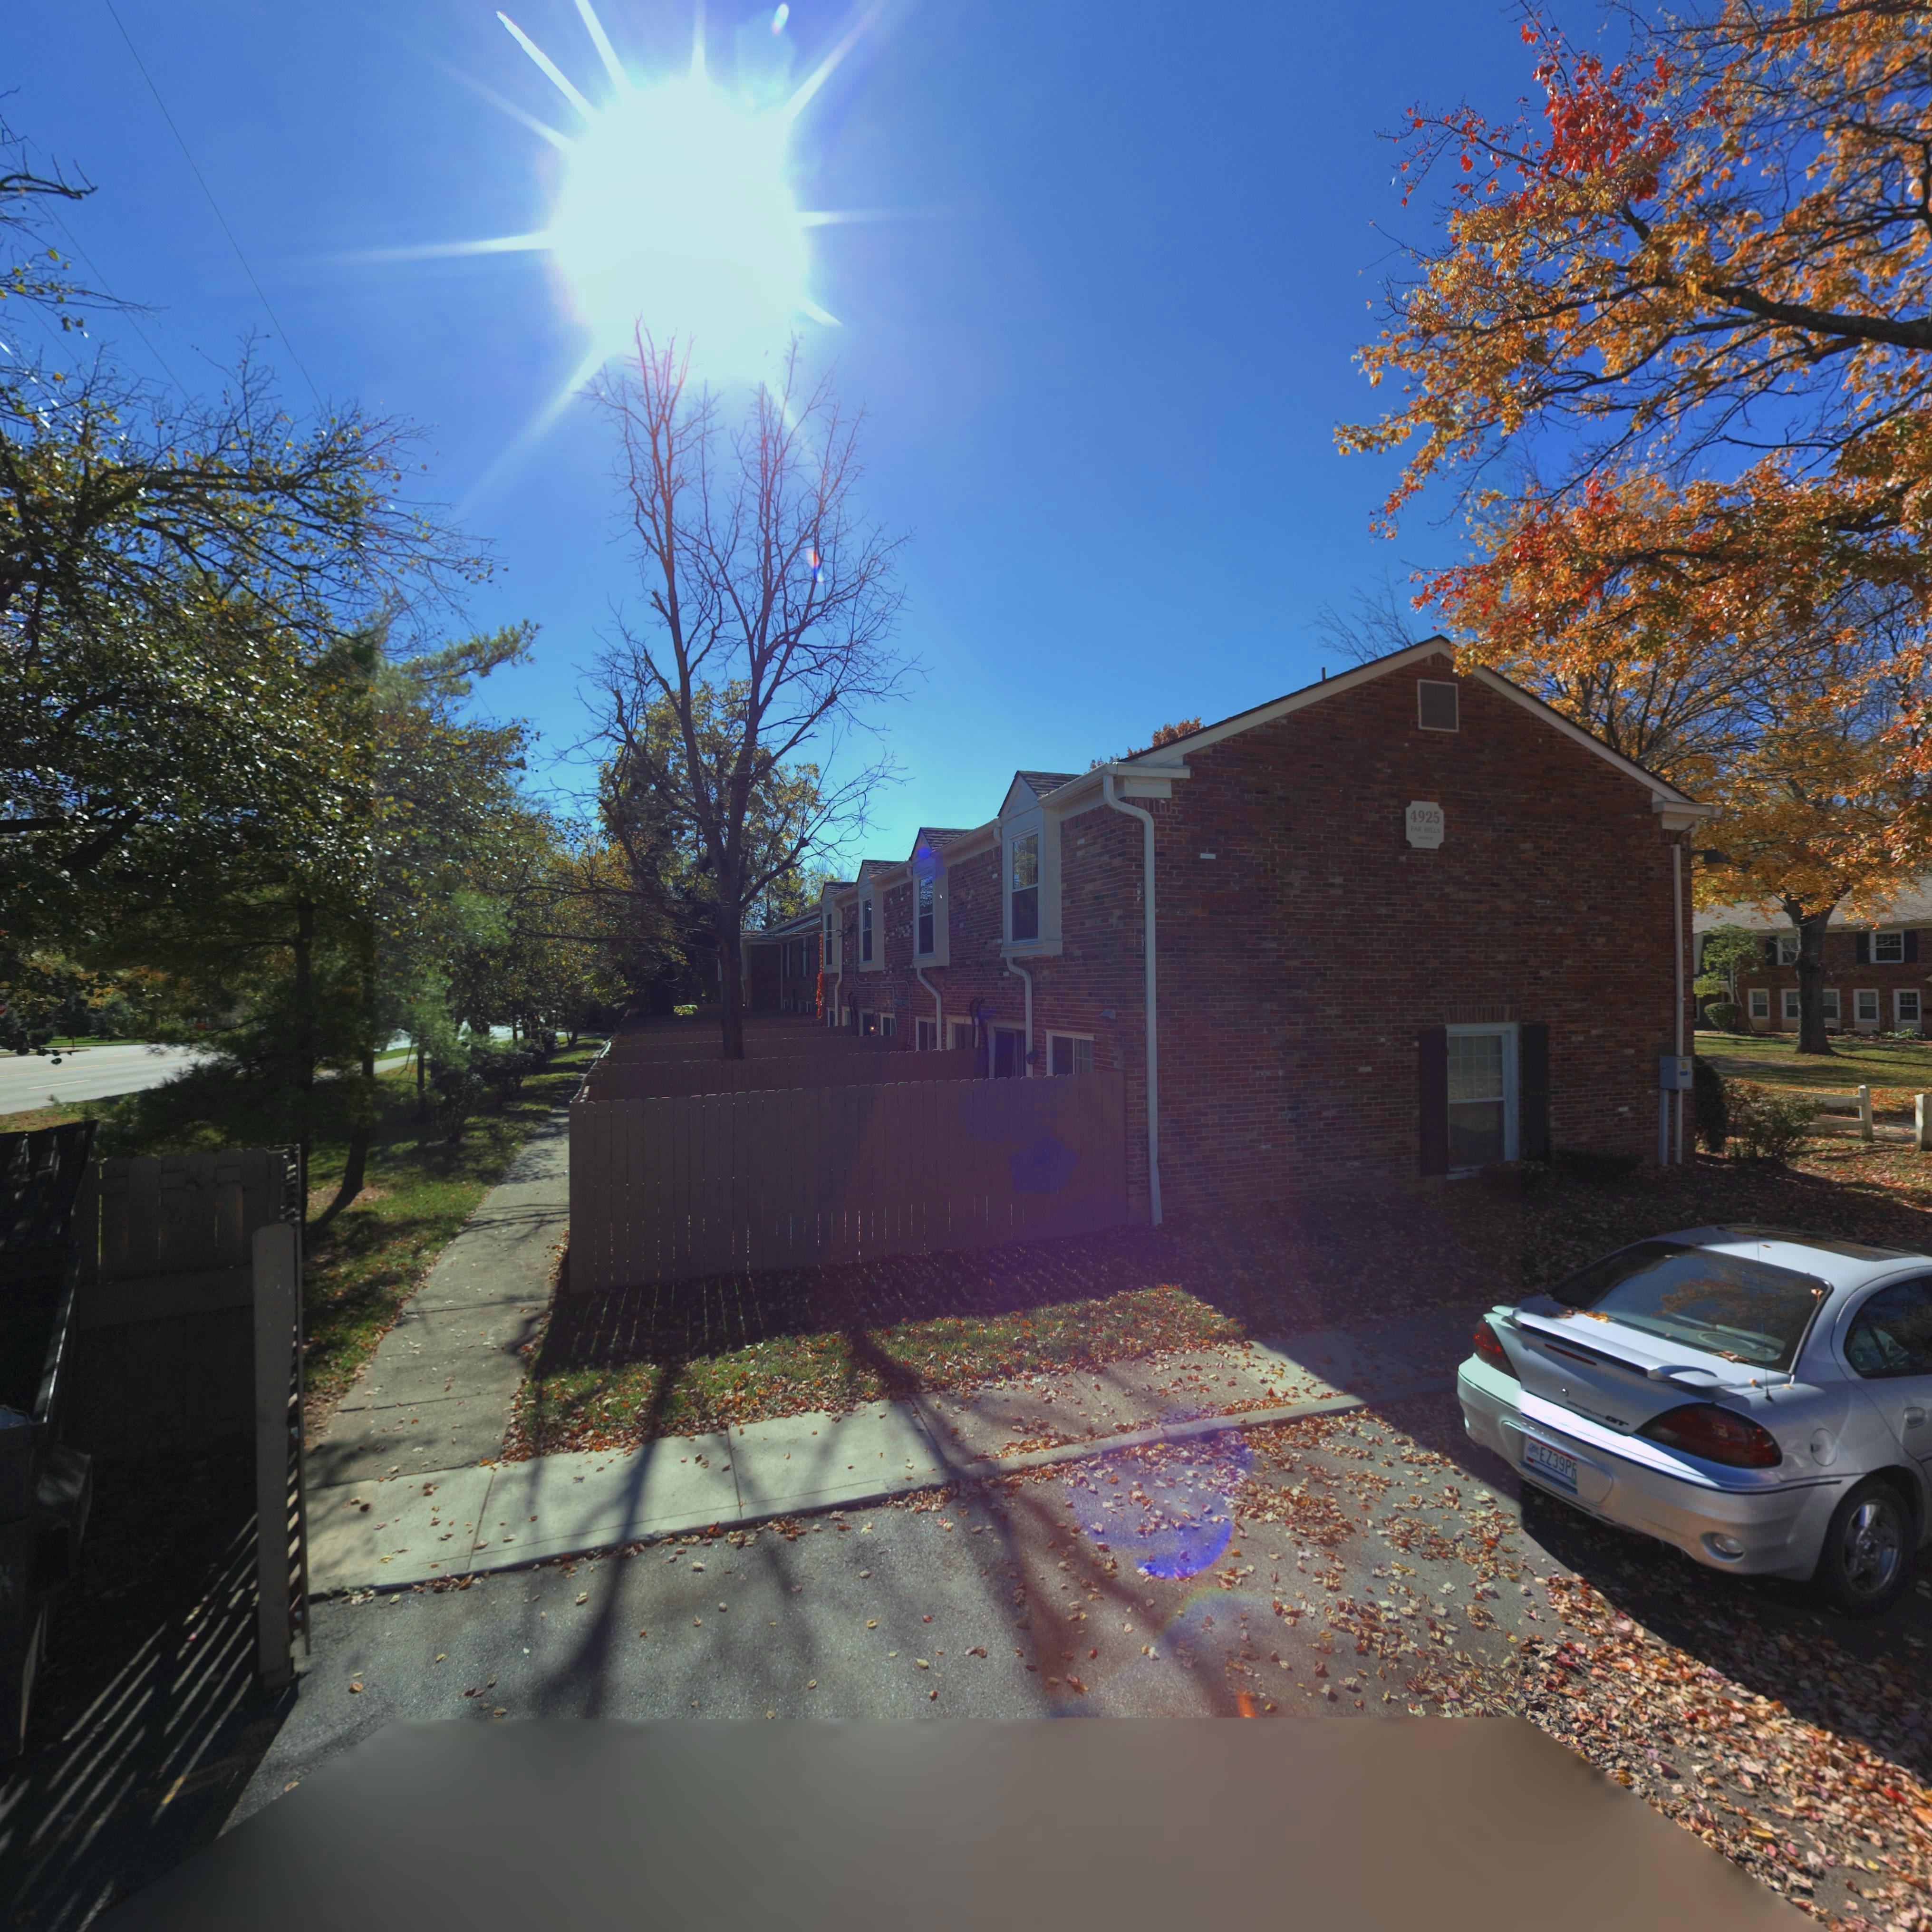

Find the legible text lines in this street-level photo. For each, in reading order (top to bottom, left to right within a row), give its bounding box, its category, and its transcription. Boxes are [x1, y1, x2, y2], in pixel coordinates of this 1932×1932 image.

[1409, 809, 1440, 824] StreetNumber: 4925